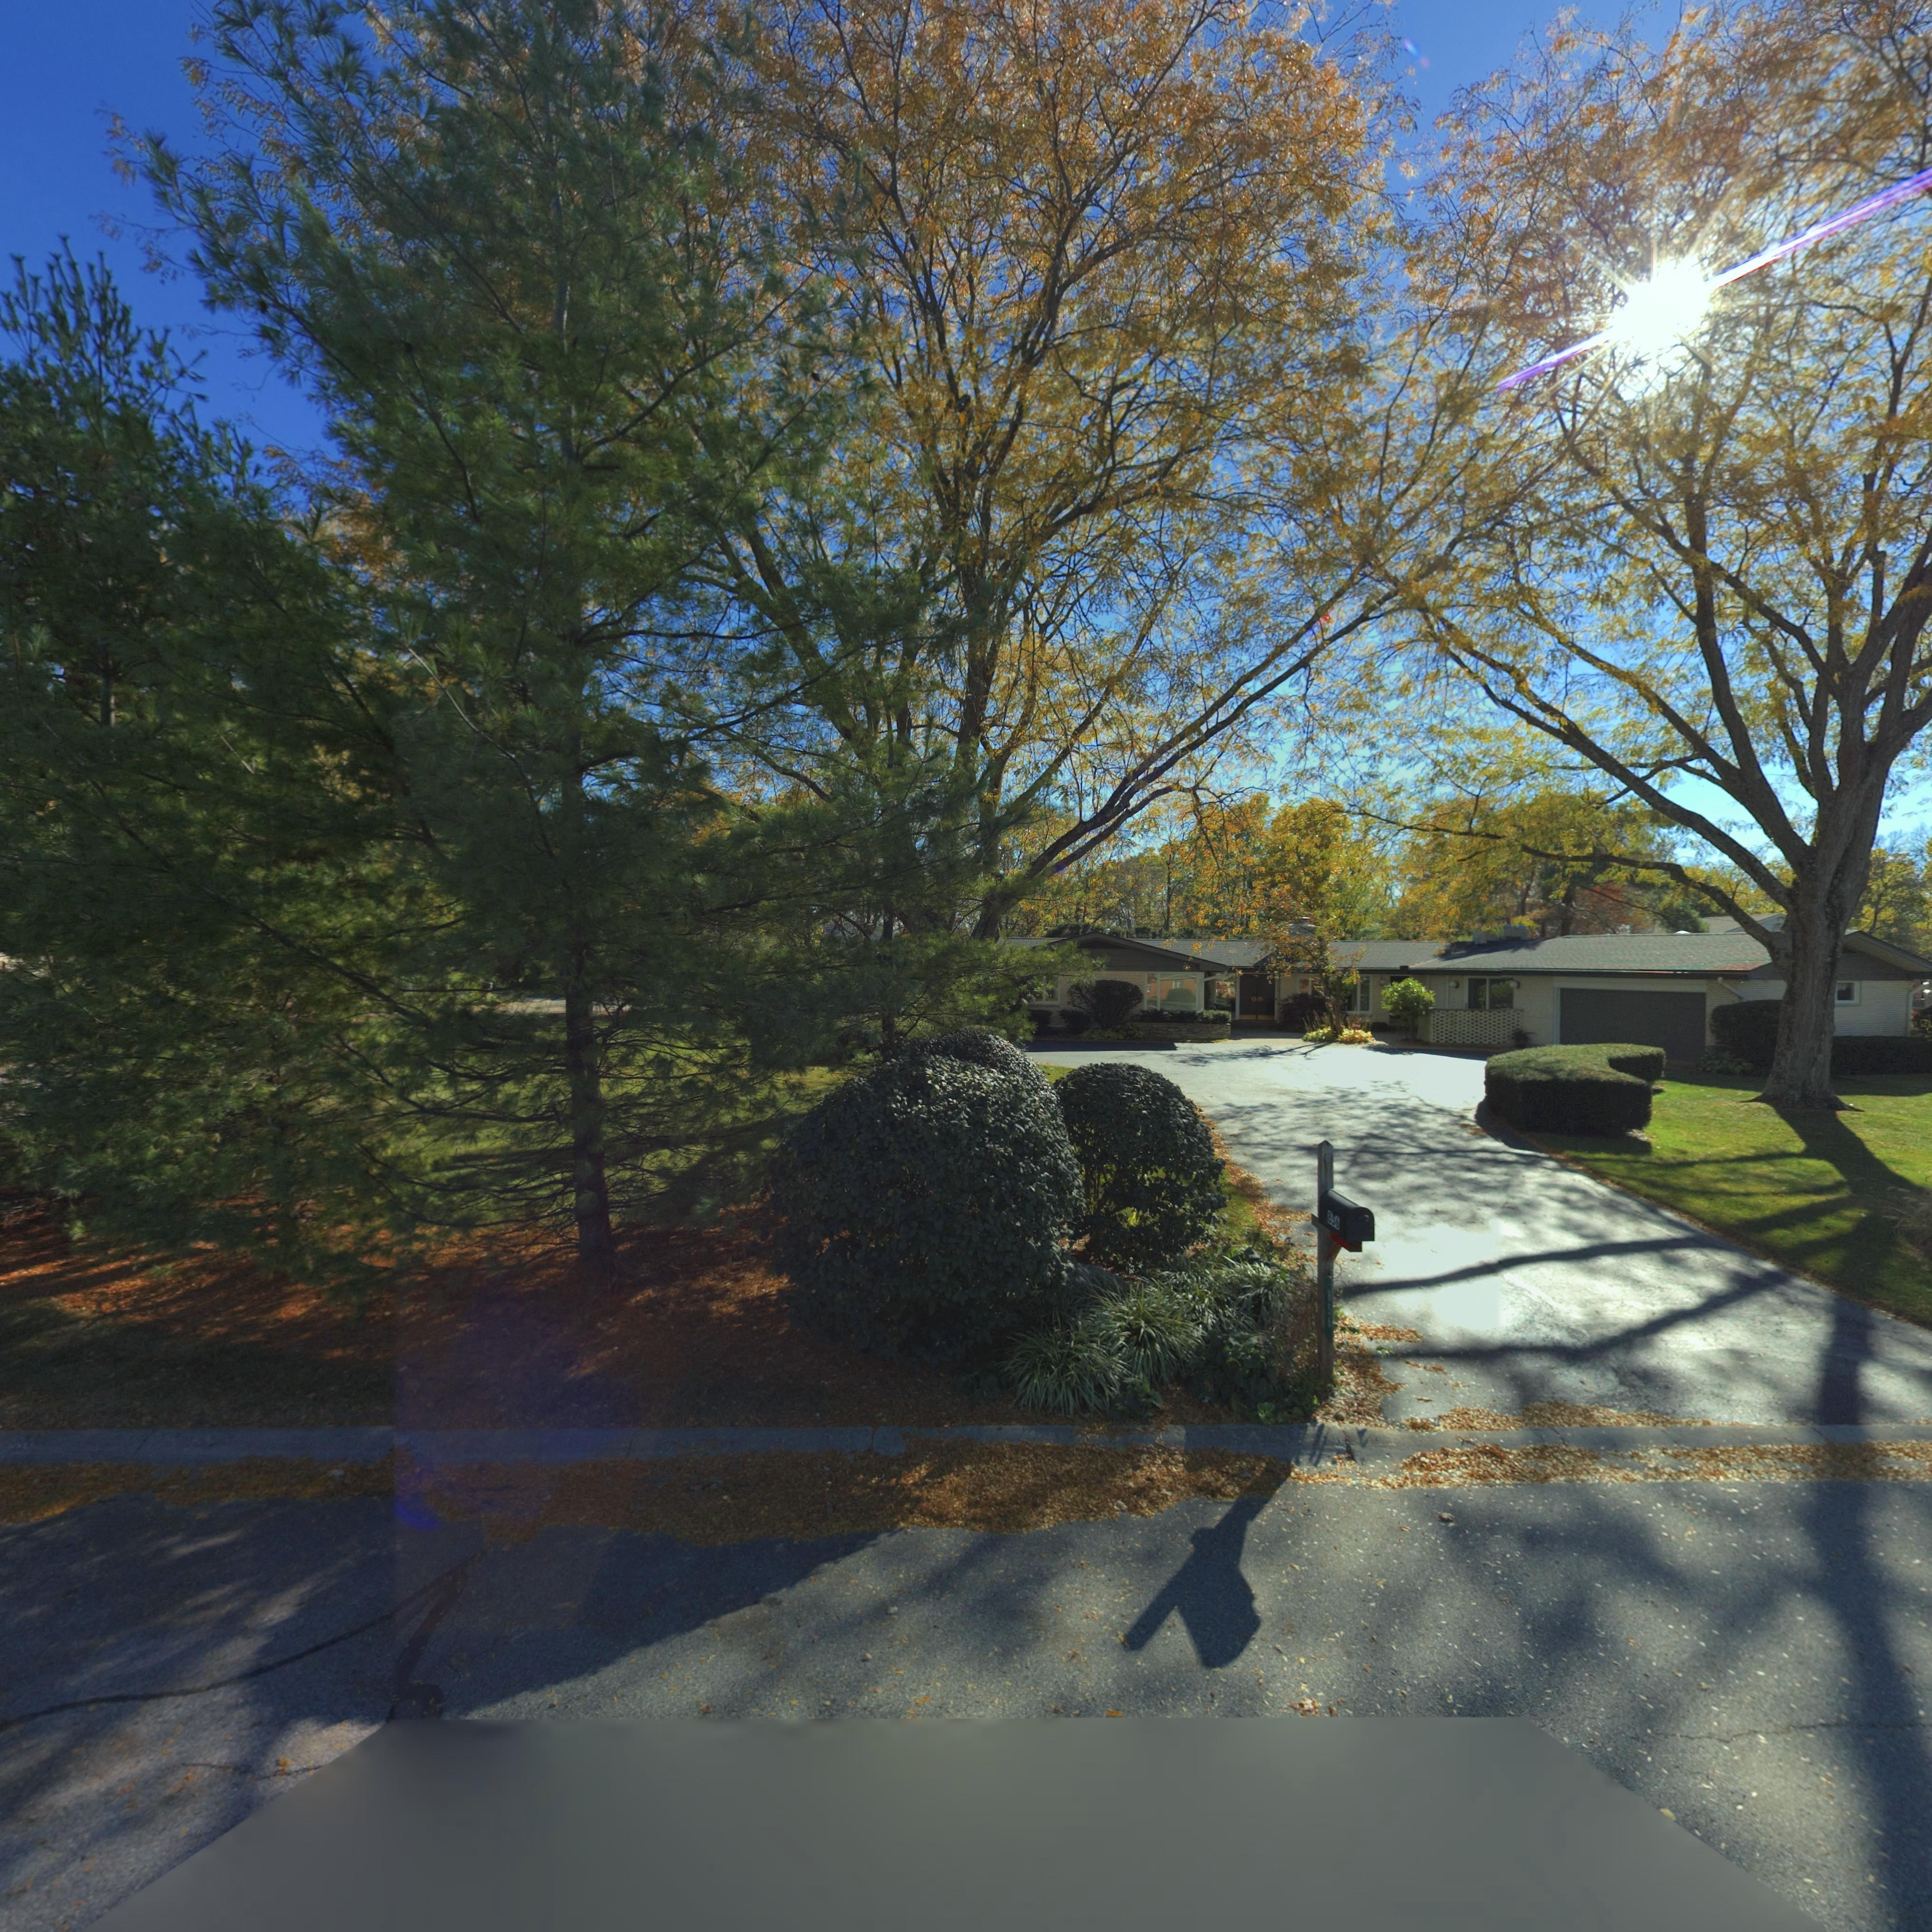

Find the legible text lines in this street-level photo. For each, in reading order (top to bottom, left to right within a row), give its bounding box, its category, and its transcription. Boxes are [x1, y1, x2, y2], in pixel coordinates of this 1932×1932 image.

[1327, 1209, 1341, 1231] StreetNumber: 856
[1326, 1287, 1333, 1331] StreetNumber: 856